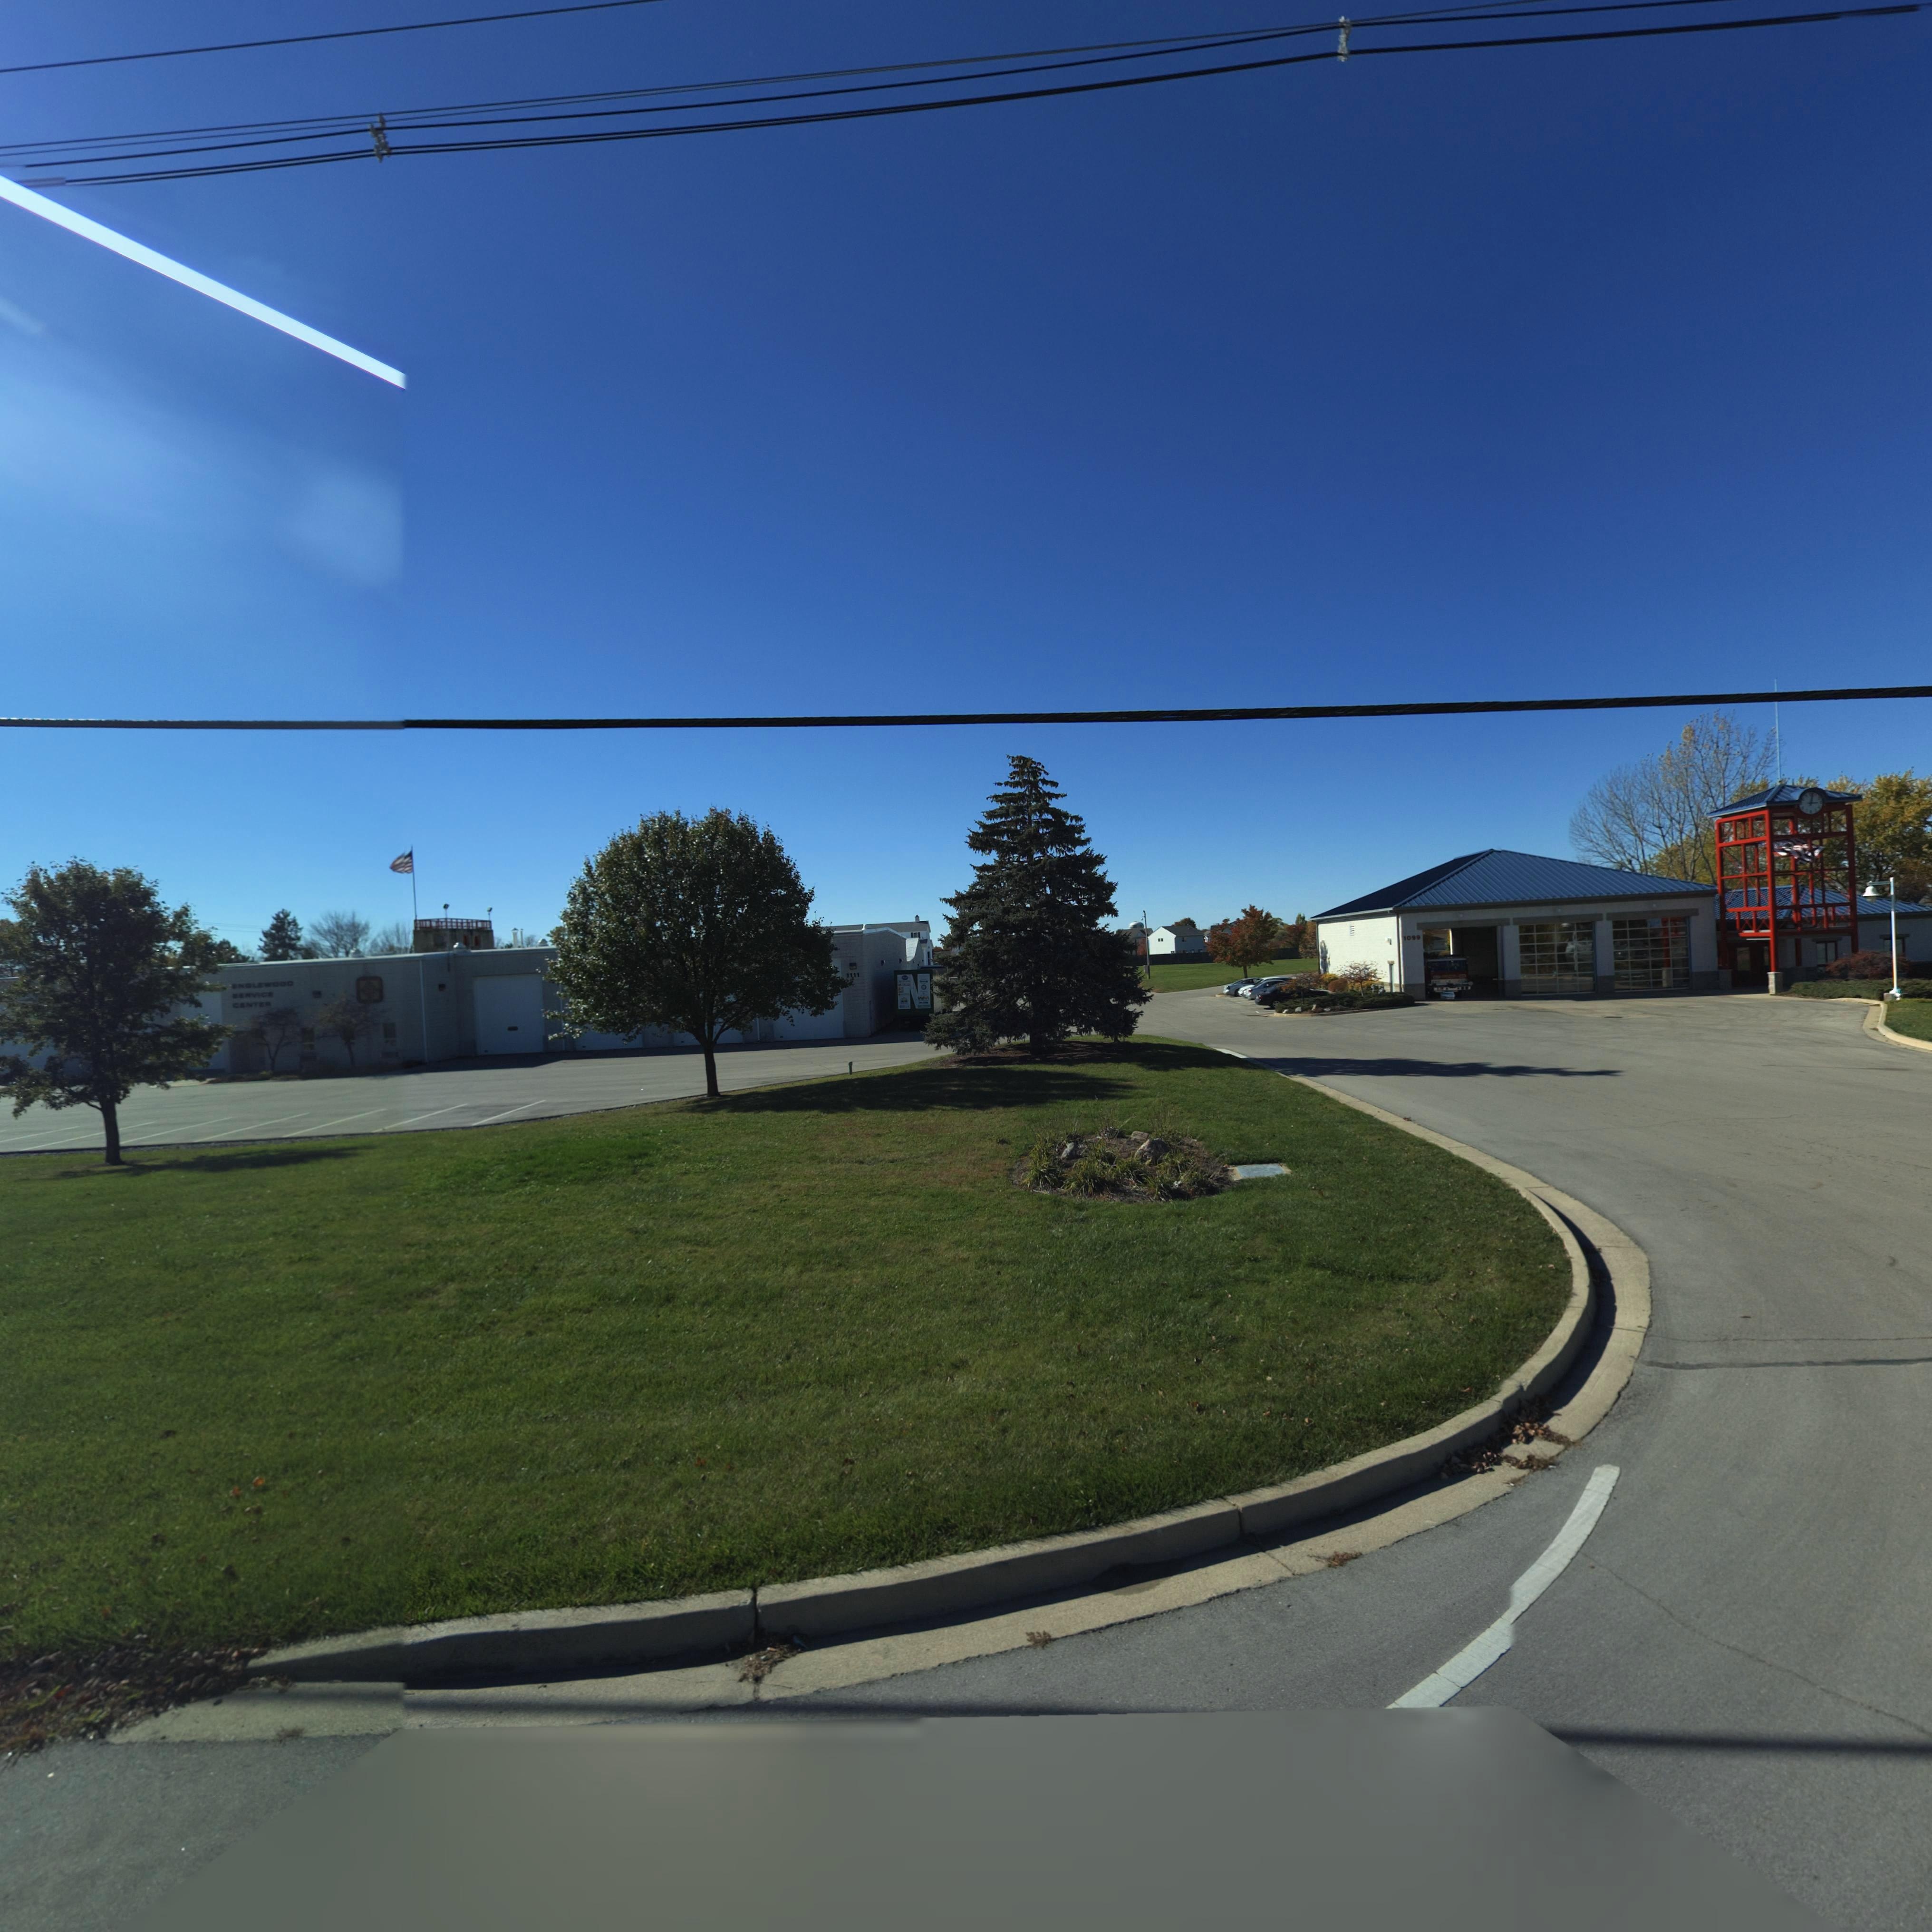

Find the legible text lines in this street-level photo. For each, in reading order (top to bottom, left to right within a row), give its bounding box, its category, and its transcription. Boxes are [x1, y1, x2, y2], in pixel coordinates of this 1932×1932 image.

[1402, 934, 1422, 942] StreetNumber: 1099
[845, 971, 860, 979] StreetNumber: 1111
[231, 980, 295, 990] BusinessName: *N*LEWOOD
[231, 991, 274, 999] BusinessName: **RVIC*
[231, 1001, 272, 1009] BusinessName: CENTER